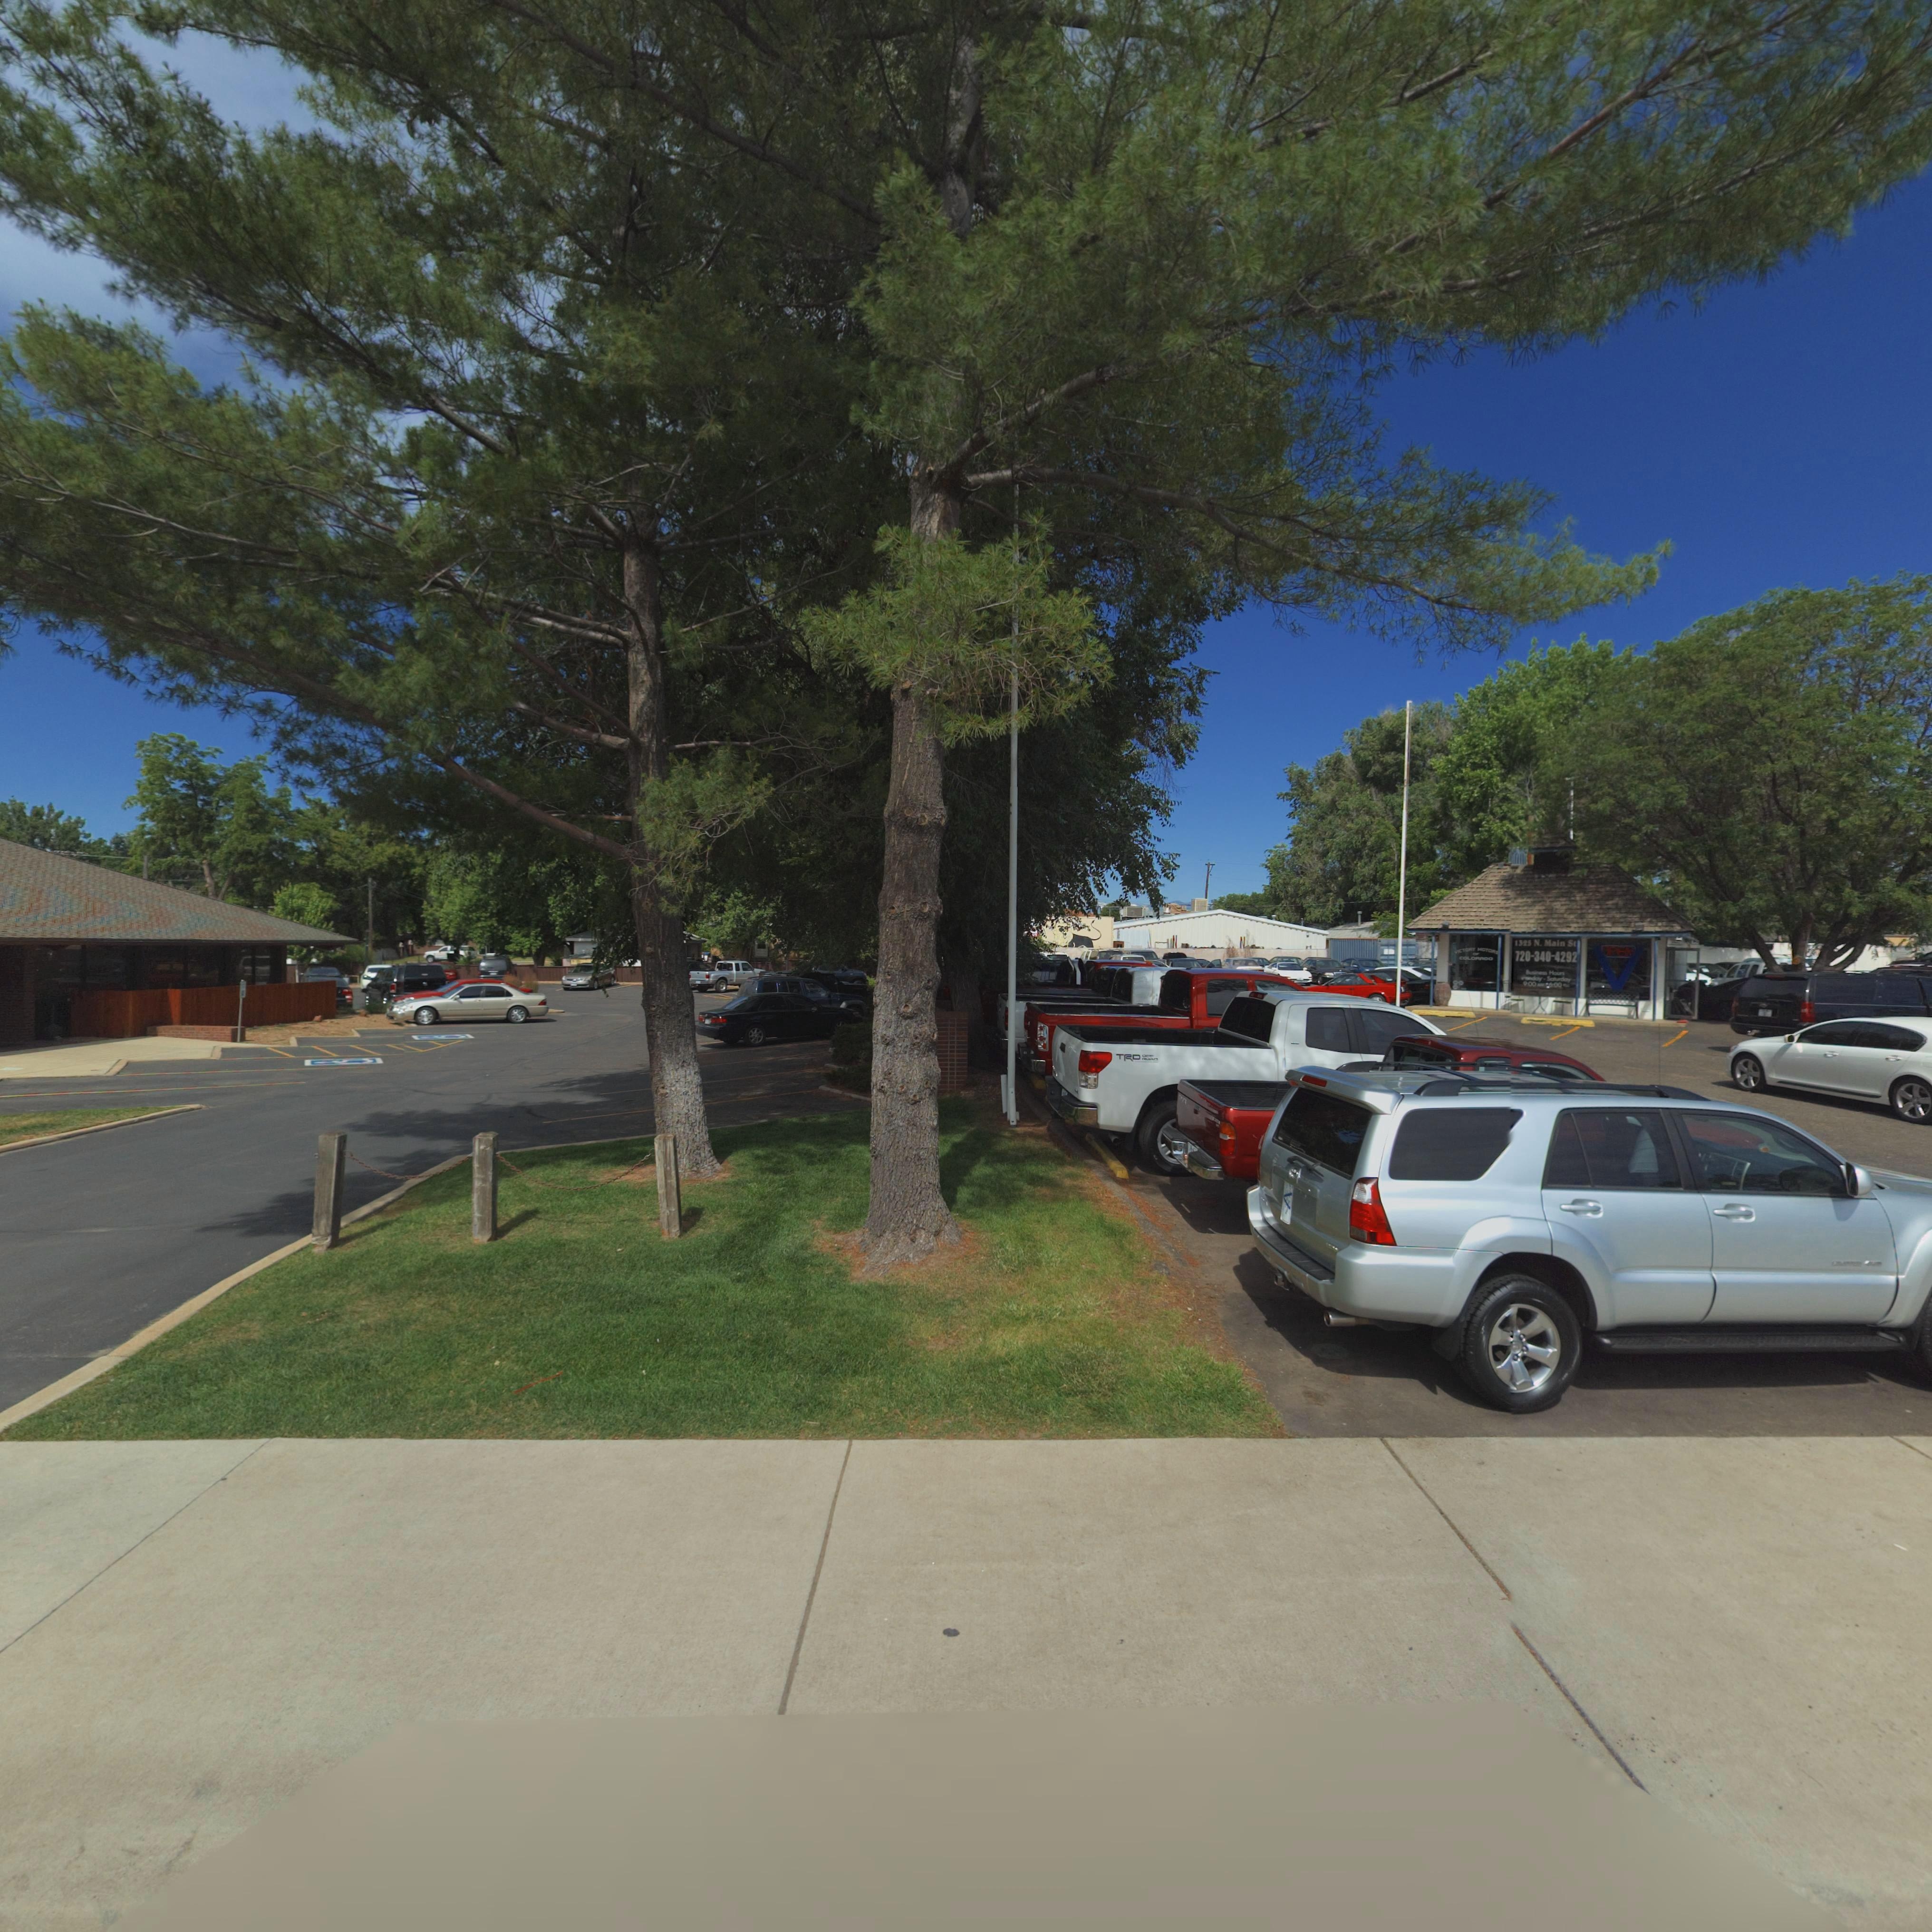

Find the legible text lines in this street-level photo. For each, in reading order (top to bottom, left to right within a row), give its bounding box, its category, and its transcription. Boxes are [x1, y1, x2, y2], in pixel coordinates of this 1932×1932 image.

[1515, 939, 1531, 946] StreetNumber: 132*
[1534, 939, 1576, 947] StreetName: N. Main S*
[1453, 947, 1497, 955] BusinessName: V*CT*** MOTO**
[1472, 952, 1480, 956] BusinessName: o*
[1459, 956, 1493, 961] BusinessName: COLO***O